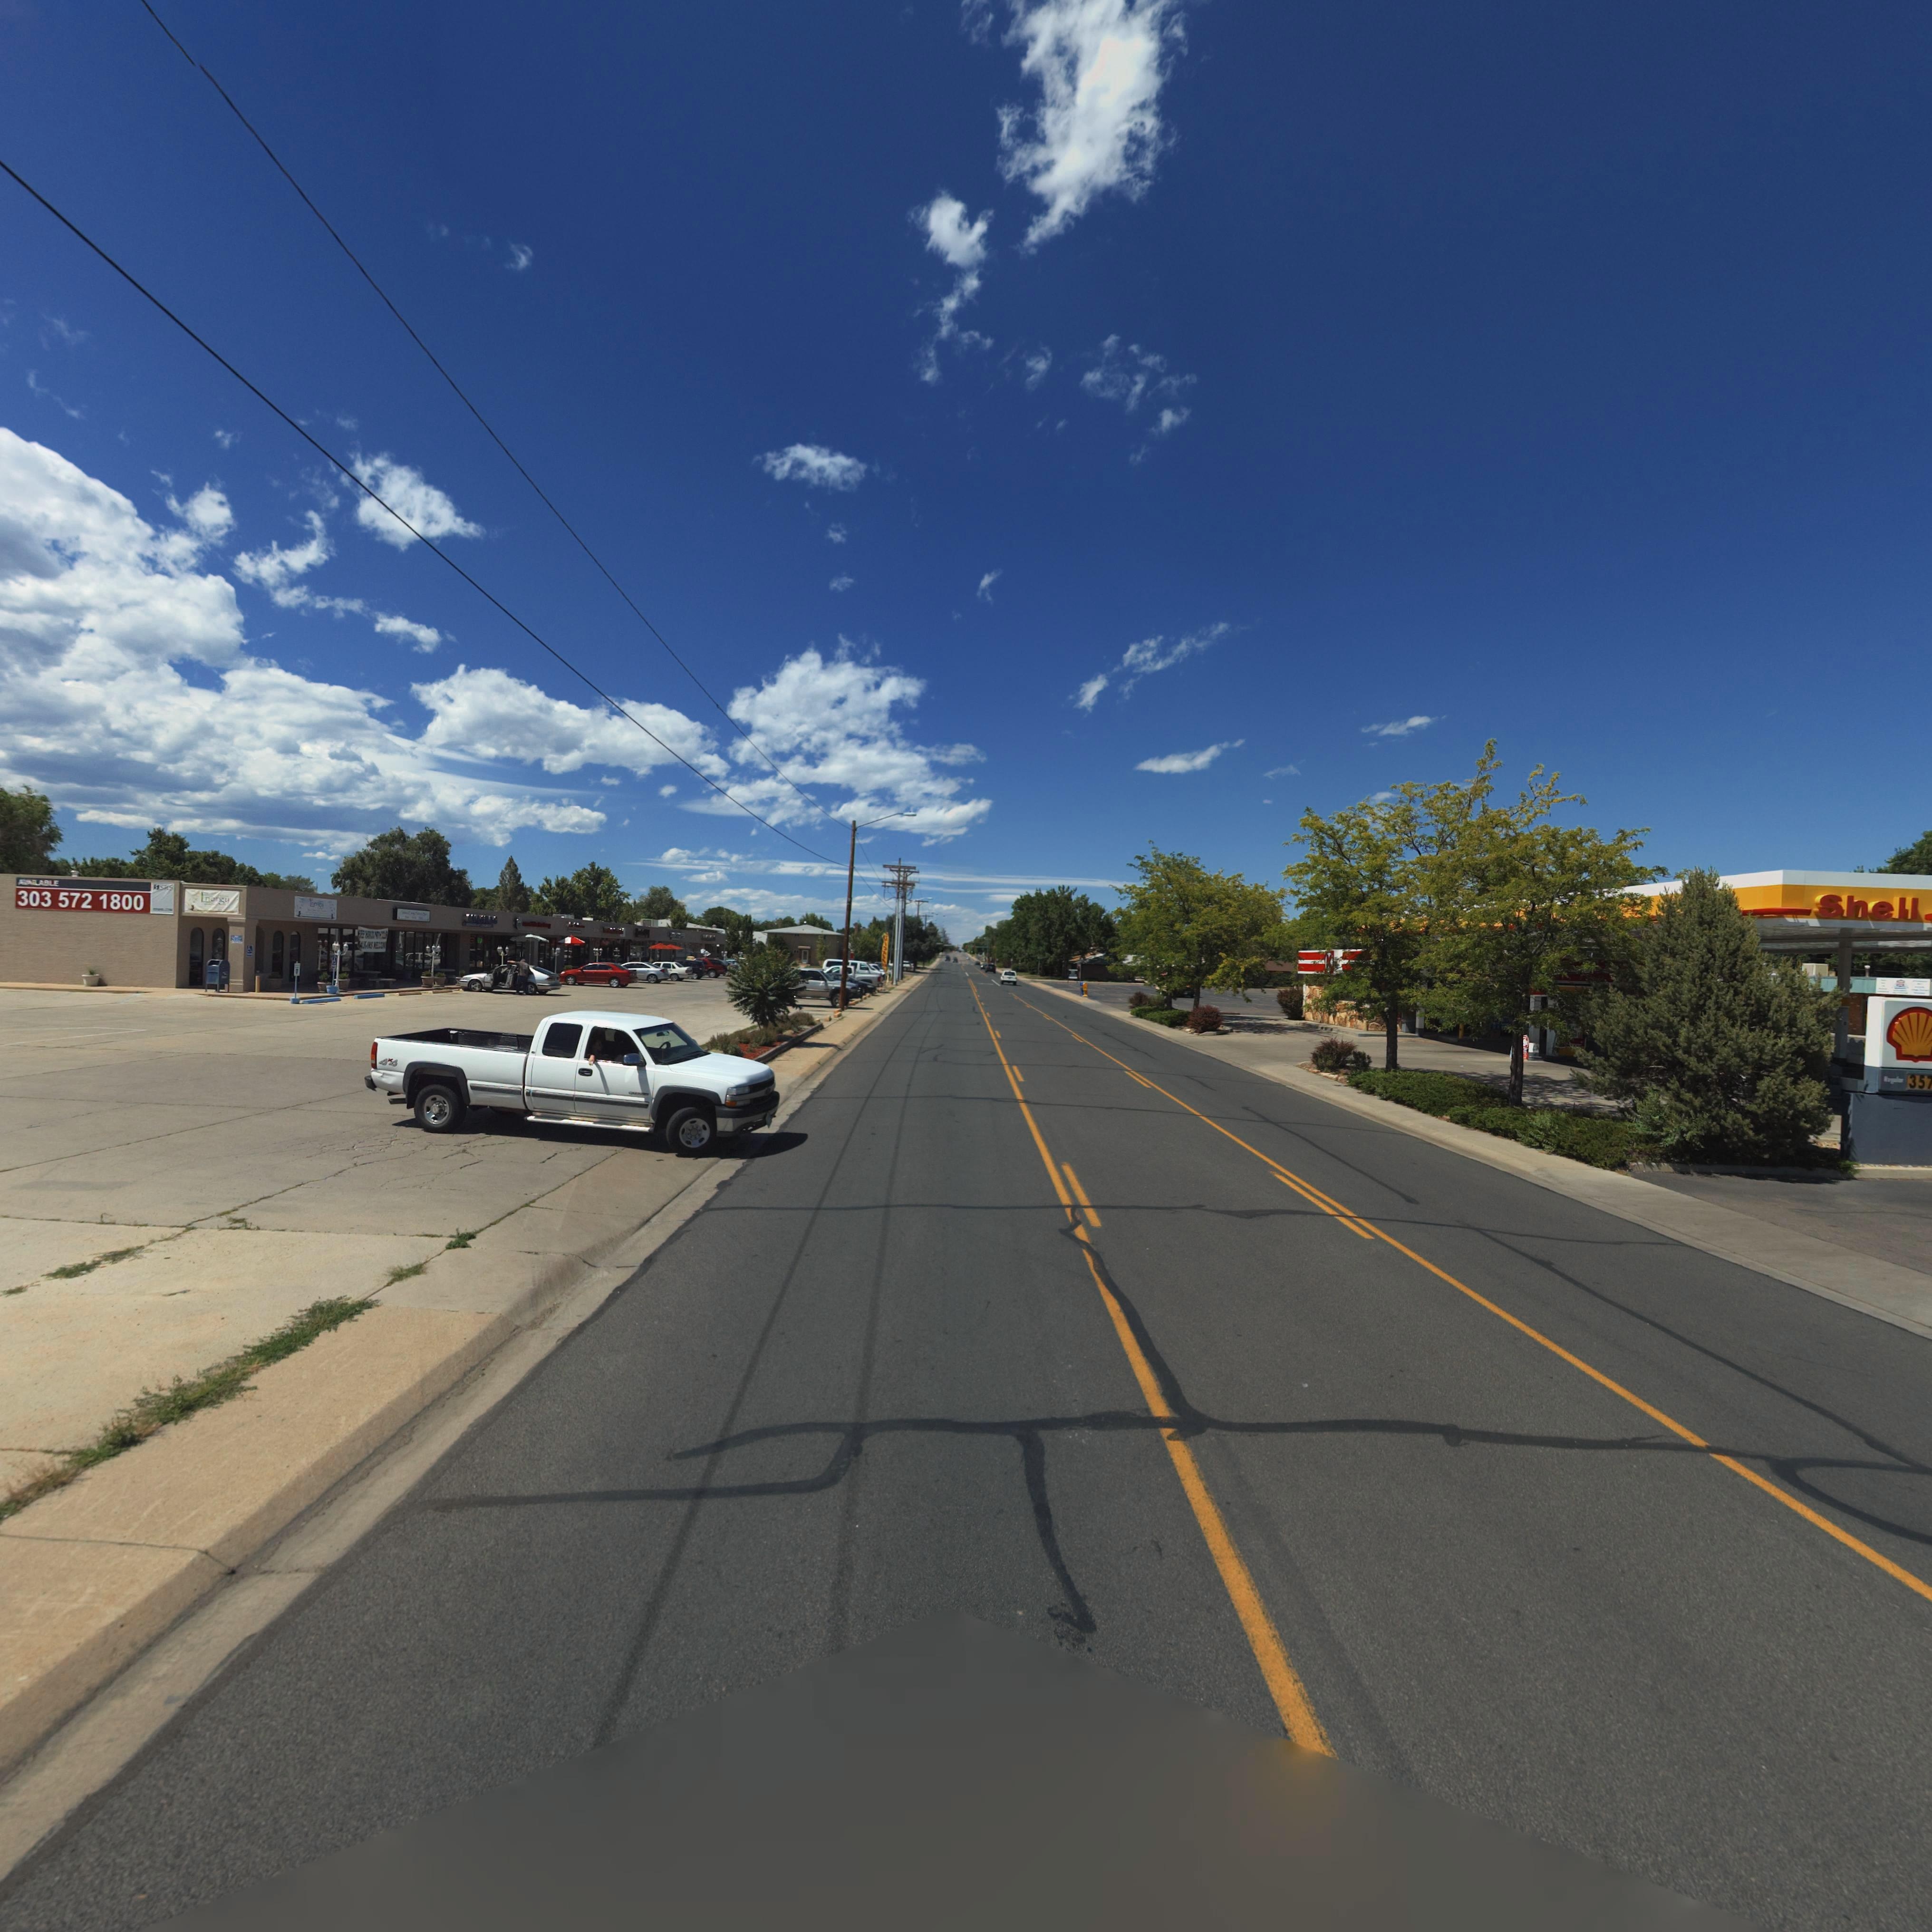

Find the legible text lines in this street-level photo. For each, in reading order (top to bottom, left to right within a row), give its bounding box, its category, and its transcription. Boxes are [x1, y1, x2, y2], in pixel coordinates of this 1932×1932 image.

[1816, 894, 1919, 920] BusinessName: Shell